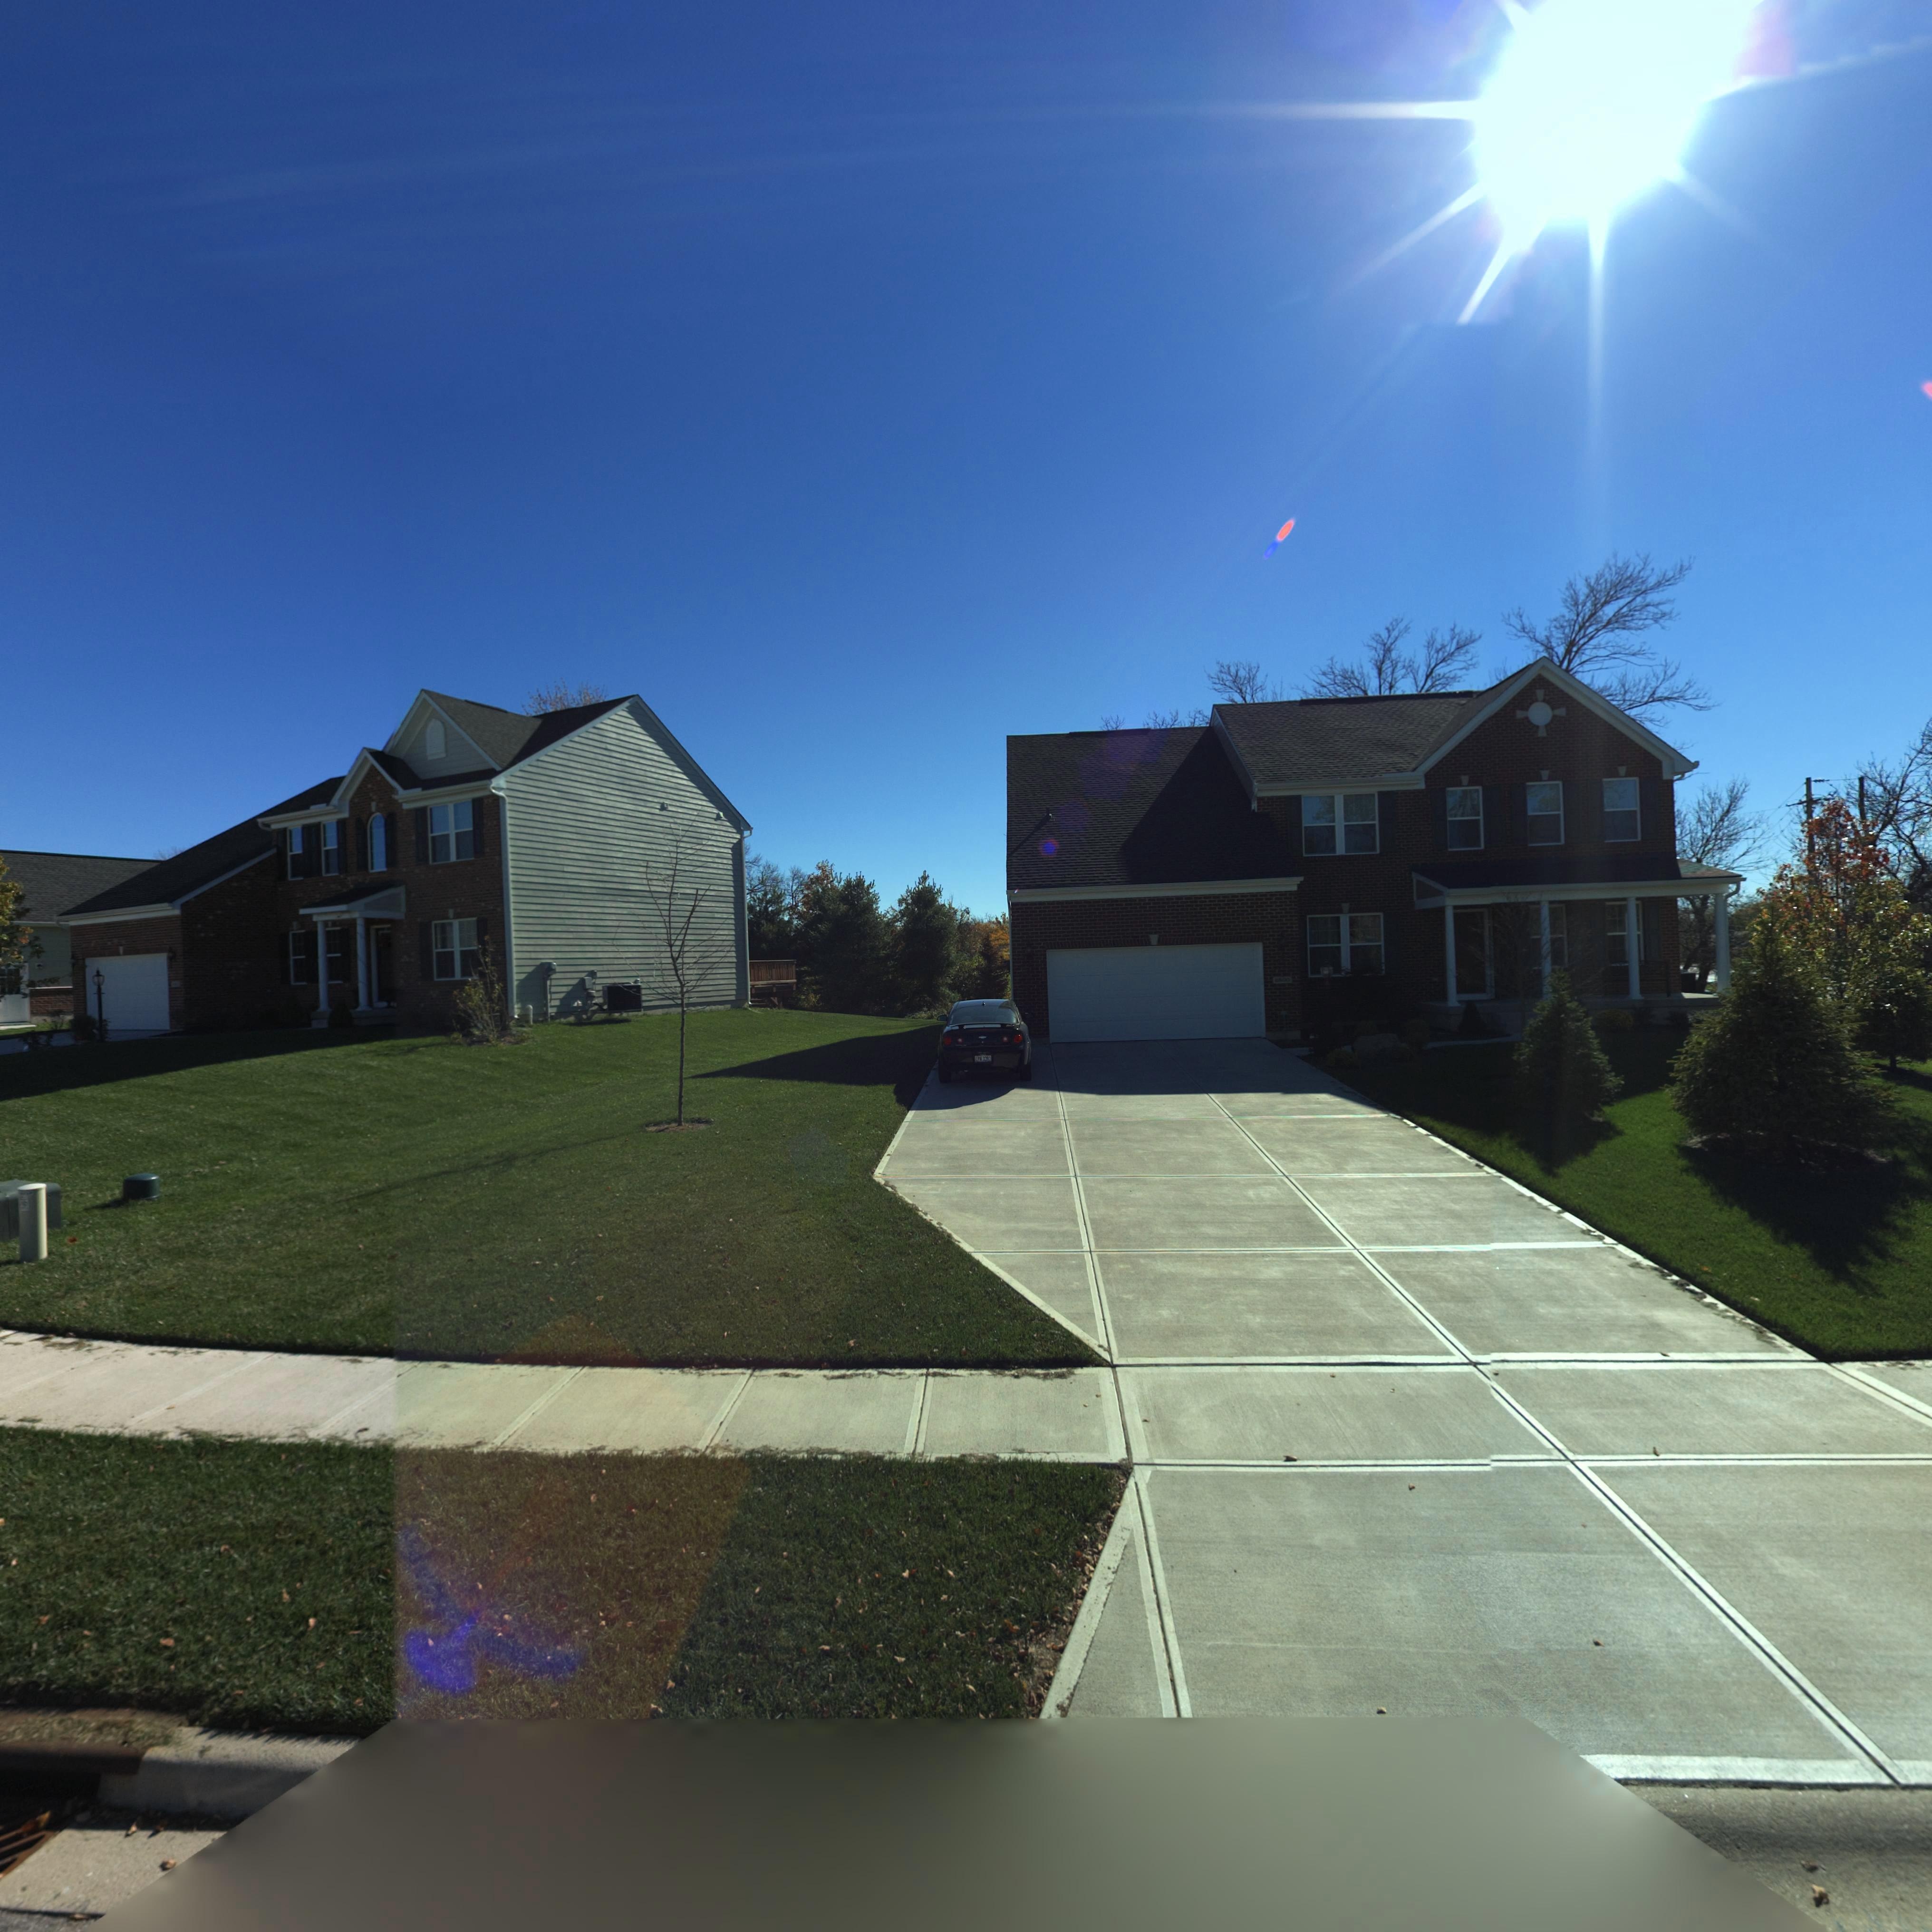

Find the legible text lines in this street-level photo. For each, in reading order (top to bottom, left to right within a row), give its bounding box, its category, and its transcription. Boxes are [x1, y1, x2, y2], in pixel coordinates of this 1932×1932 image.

[1274, 977, 1291, 983] StreetNumber: ***0